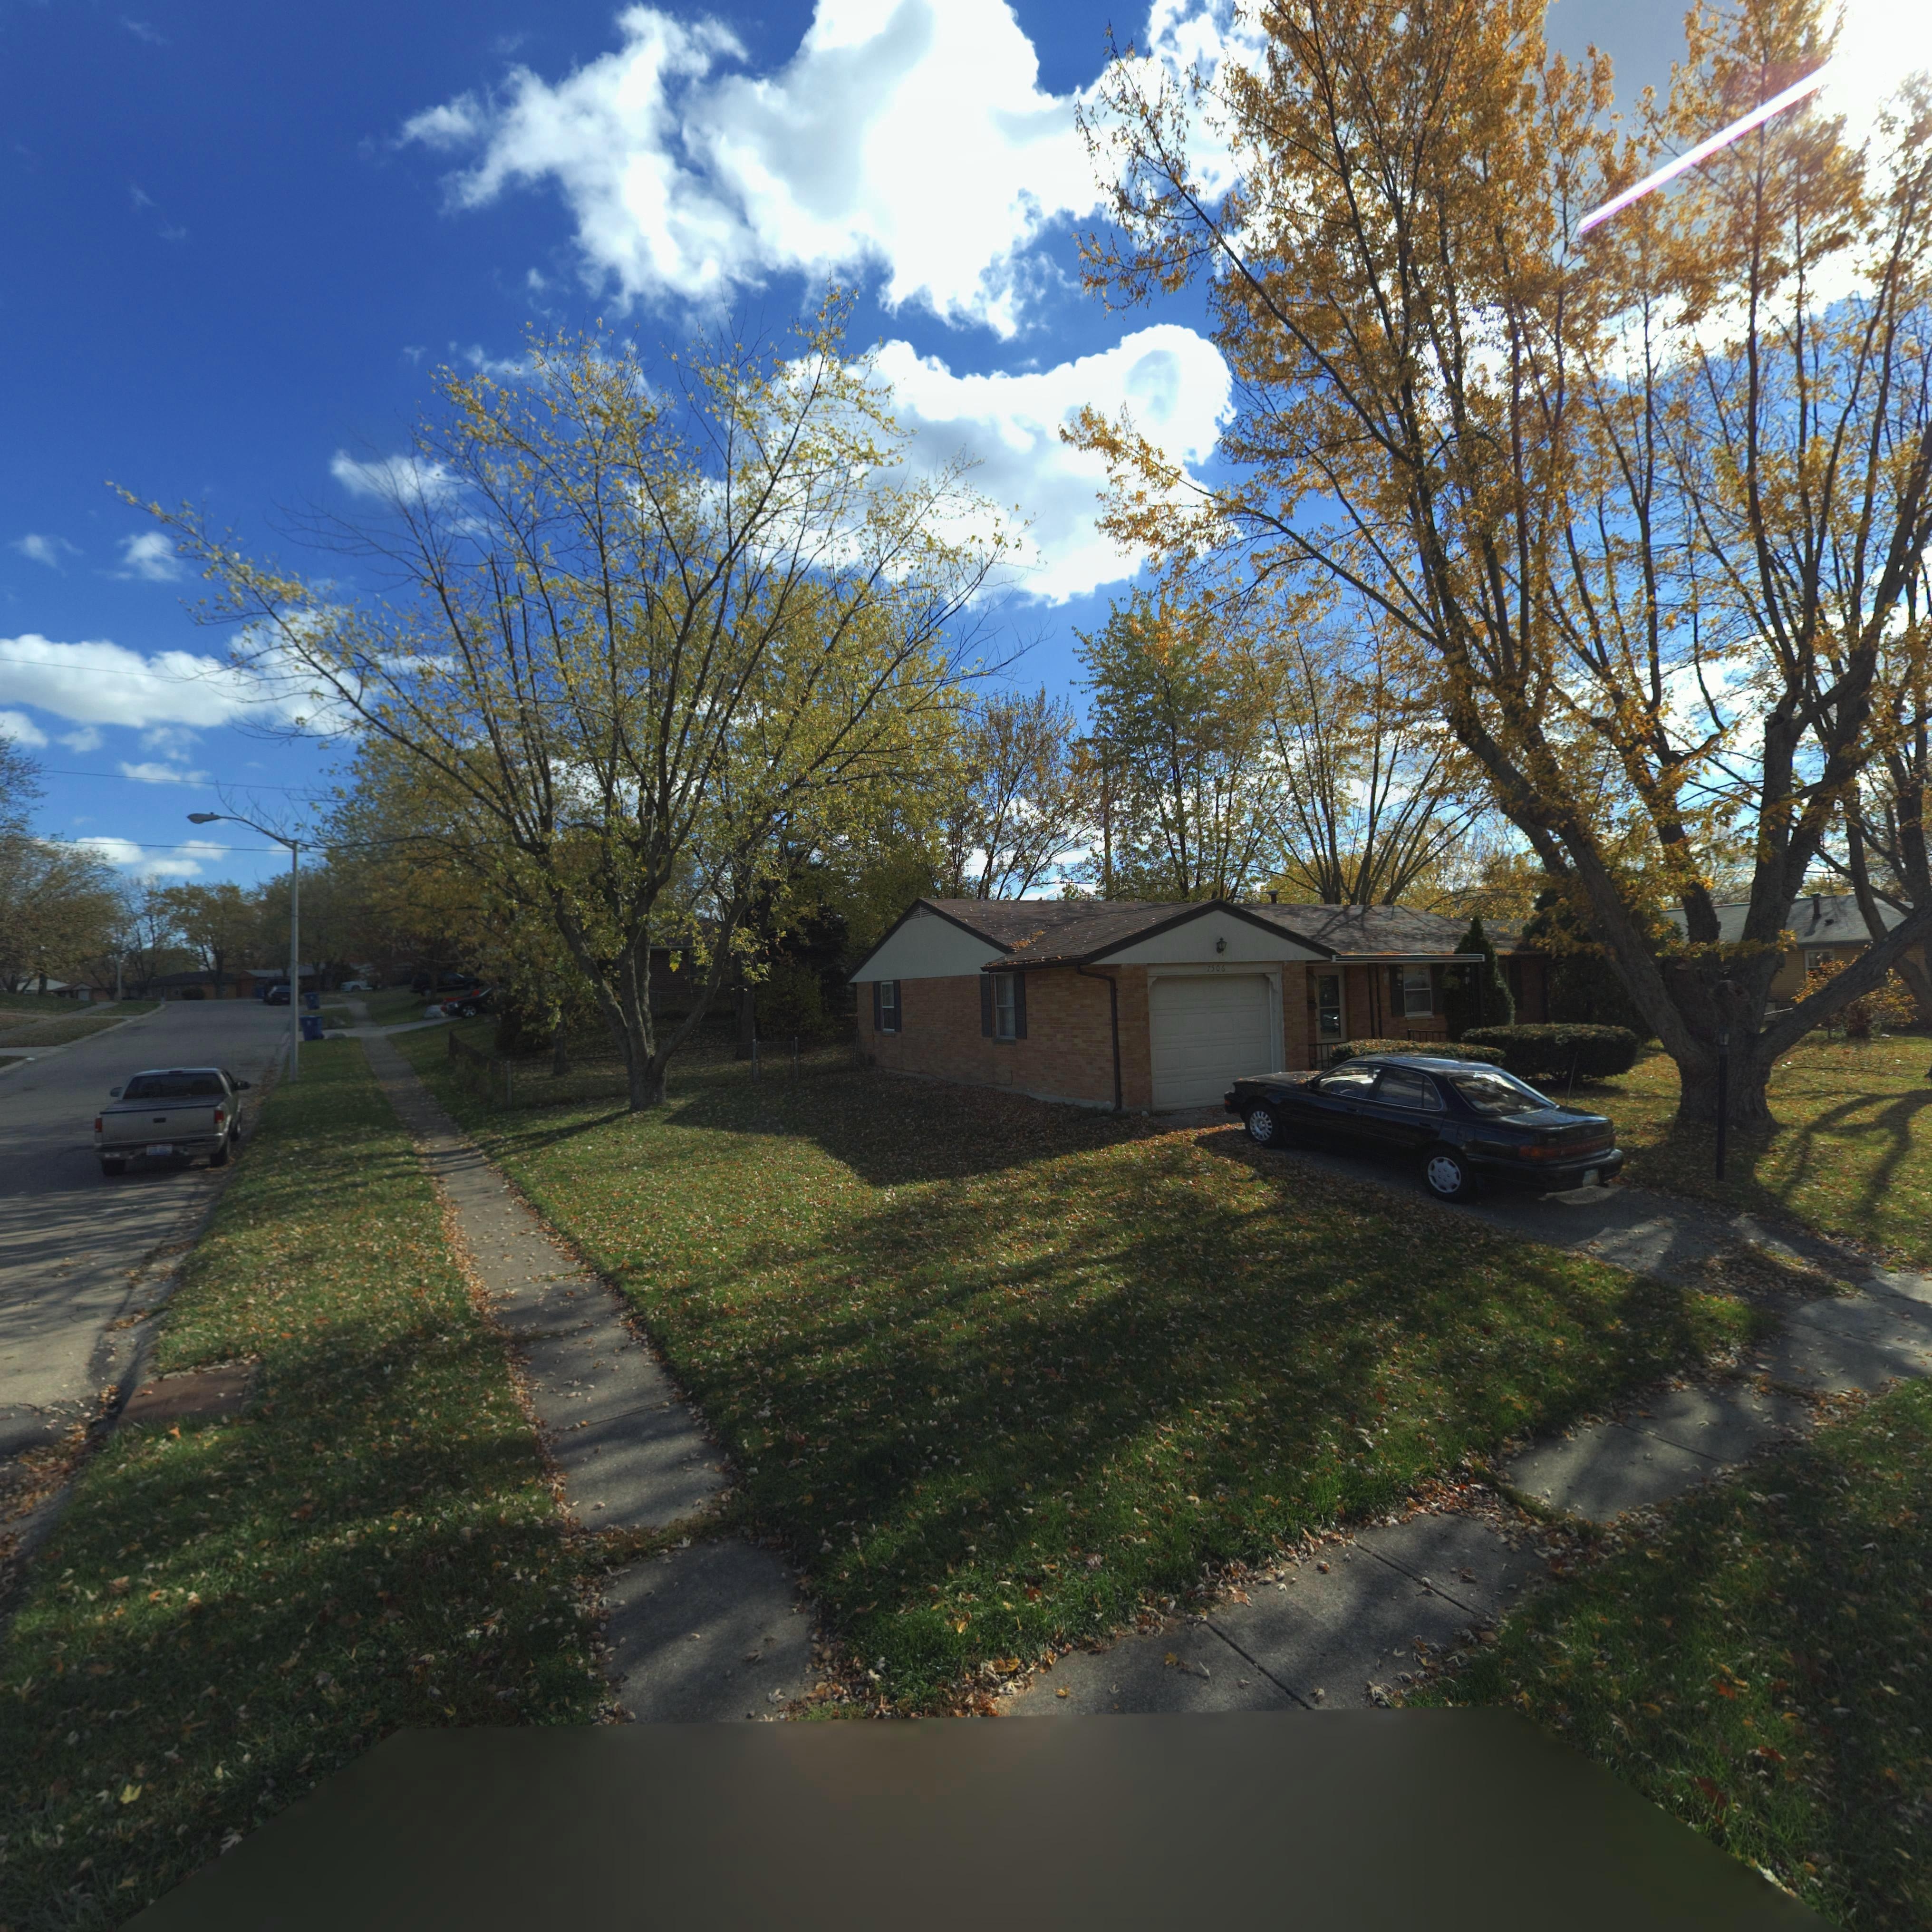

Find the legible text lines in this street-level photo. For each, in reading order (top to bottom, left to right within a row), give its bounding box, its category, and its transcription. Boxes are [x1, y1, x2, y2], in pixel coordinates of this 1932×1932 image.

[1206, 964, 1226, 972] StreetNumber: 7506